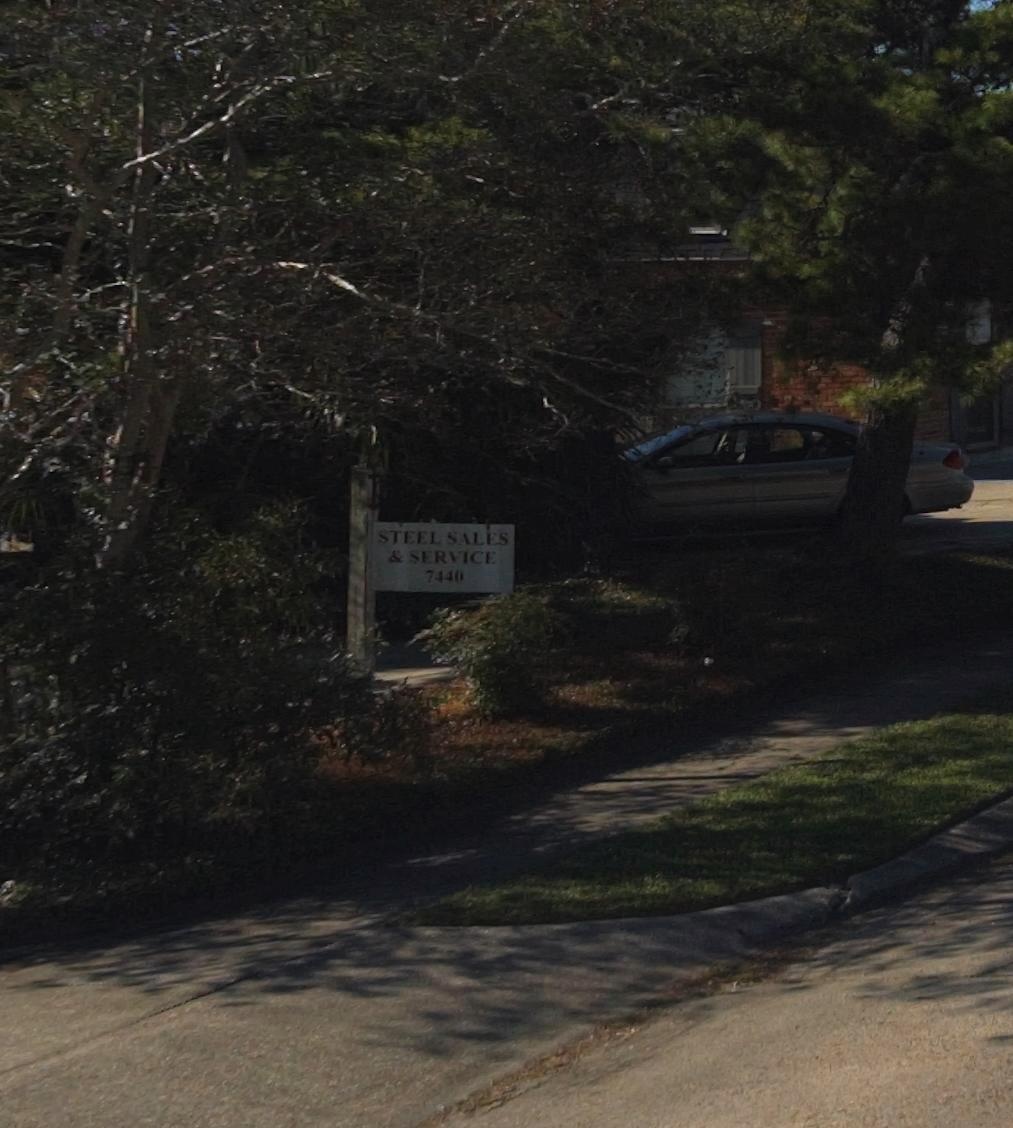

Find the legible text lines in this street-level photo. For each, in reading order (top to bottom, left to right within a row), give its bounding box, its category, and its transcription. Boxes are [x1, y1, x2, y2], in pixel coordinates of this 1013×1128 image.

[374, 527, 513, 549] BusinessName: Steel Sales & Service
[405, 547, 499, 567] BusinessName: SERVICE
[422, 566, 468, 586] StreetNumber: 7440